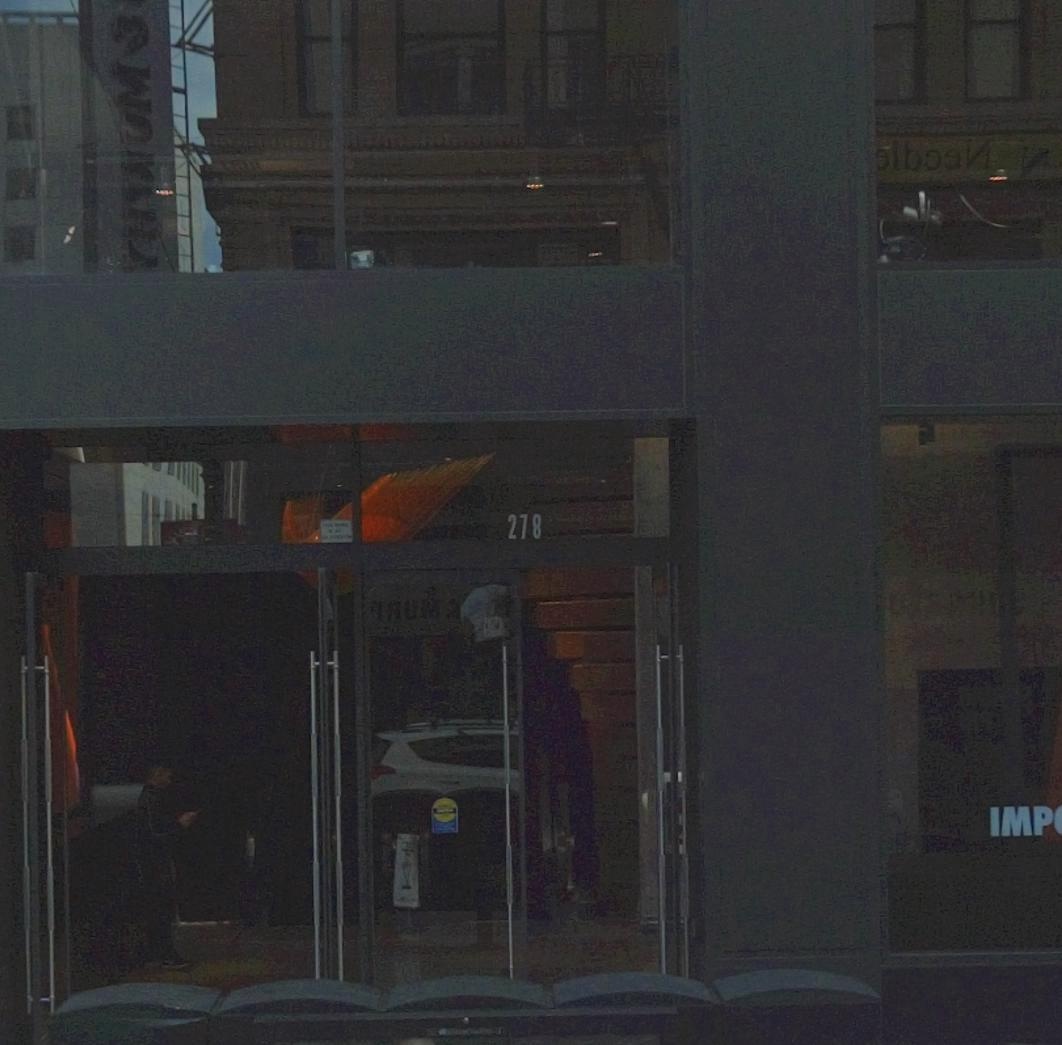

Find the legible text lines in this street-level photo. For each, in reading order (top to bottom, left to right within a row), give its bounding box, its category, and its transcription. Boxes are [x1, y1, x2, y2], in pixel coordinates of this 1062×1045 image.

[105, 54, 157, 148] None: MU
[886, 134, 997, 175] None: i*****
[503, 509, 547, 543] StreetNumber: 278
[399, 593, 445, 625] None: UM
[985, 801, 1056, 841] None: IMP